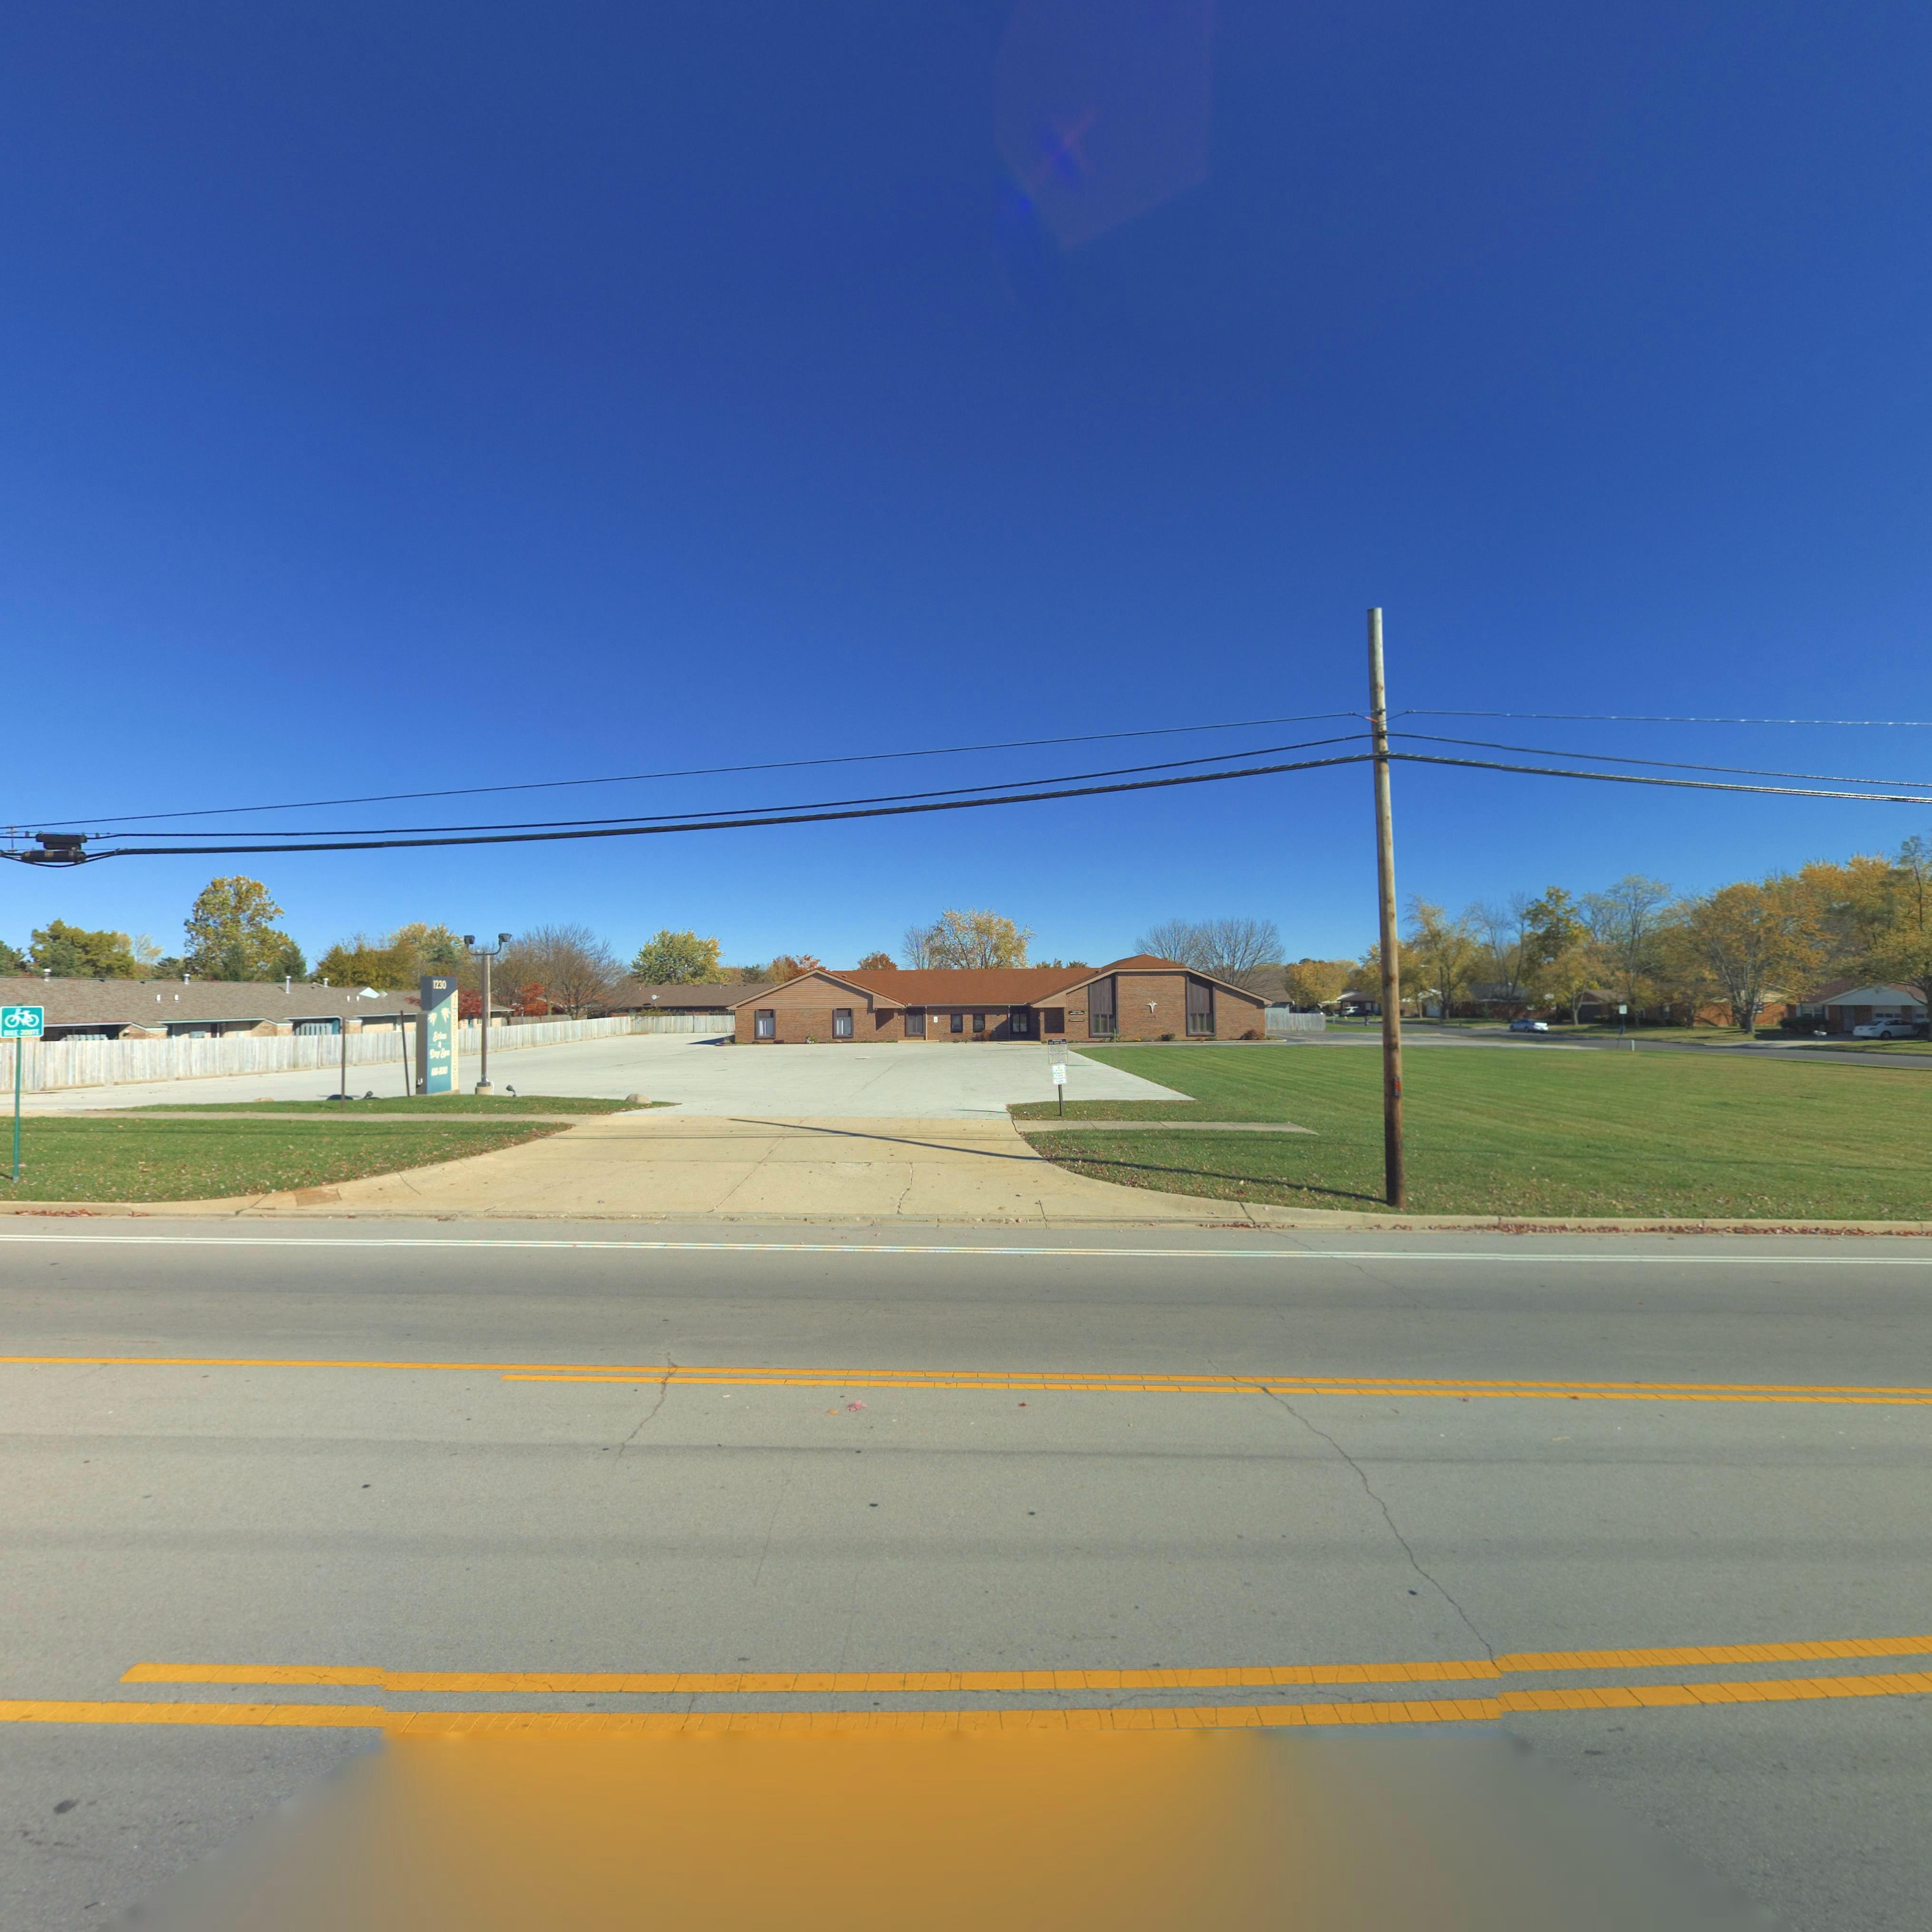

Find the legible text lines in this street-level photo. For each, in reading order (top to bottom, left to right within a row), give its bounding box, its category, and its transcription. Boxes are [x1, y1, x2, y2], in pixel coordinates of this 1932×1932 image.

[432, 979, 447, 990] StreetNumber: 1230